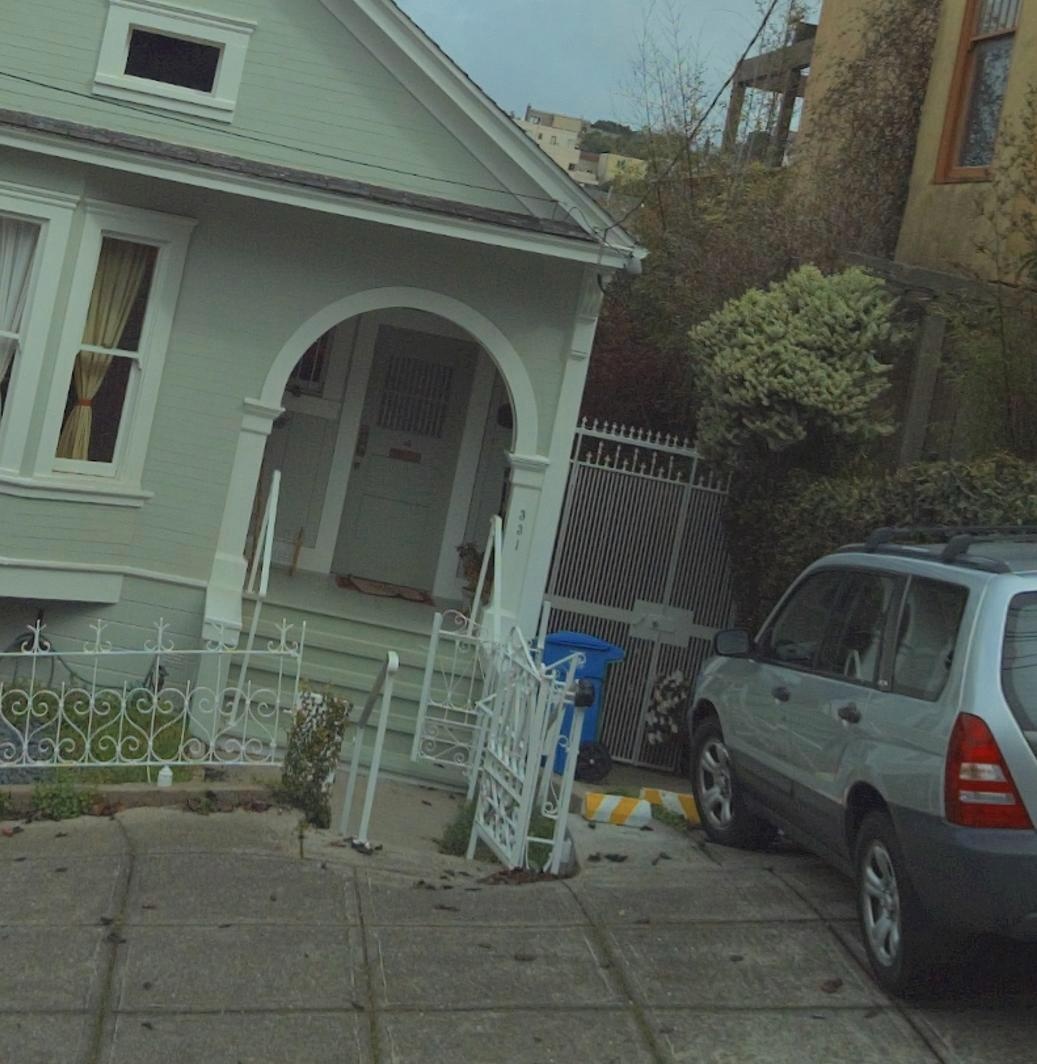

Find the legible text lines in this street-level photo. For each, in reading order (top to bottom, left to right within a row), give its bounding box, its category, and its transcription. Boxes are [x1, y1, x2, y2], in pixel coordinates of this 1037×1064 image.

[513, 508, 527, 552] StreetNumber: 331